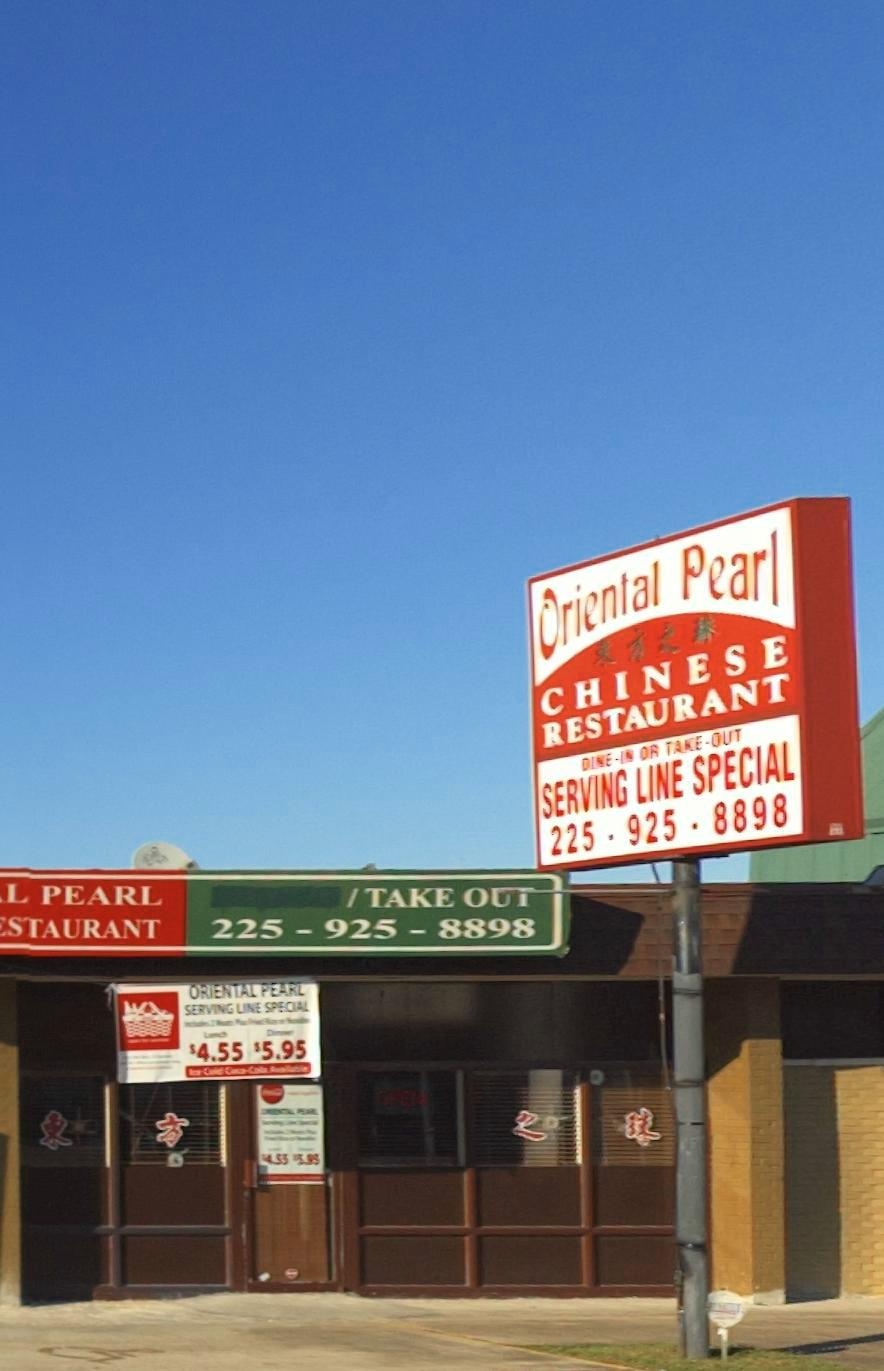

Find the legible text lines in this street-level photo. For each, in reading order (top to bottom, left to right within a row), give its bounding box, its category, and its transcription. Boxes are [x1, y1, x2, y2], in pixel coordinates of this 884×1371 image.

[537, 526, 781, 664] BusinessName: Oriental Pearl
[538, 632, 793, 723] BusinessName: CHINESE
[538, 670, 793, 752] BusinessName: RESTAURANT
[580, 726, 743, 773] None: DINE-IN OR TAKE-OUT
[539, 738, 797, 821] None: SERVING LINE SPECIAL
[550, 790, 791, 859] None: 225-925-8898
[6, 884, 164, 907] BusinessName: L PEARL
[363, 886, 536, 910] None: TAKE O**
[6, 916, 163, 940] BusinessName: STAURANT
[209, 916, 537, 940] None: 225-925-8898
[188, 980, 309, 1001] BusinessName: ORIENTAL PEARL
[183, 999, 312, 1018] None: SERVING LINE SPECIAL
[202, 1028, 232, 1040] None: L**ch
[266, 1027, 296, 1038] None: Din***
[195, 1041, 244, 1063] None: 4.55
[262, 1038, 307, 1061] None: 5.95
[375, 1087, 430, 1109] None: OP**
[264, 1151, 290, 1167] None: 4.55
[294, 1152, 322, 1167] None: 5.95